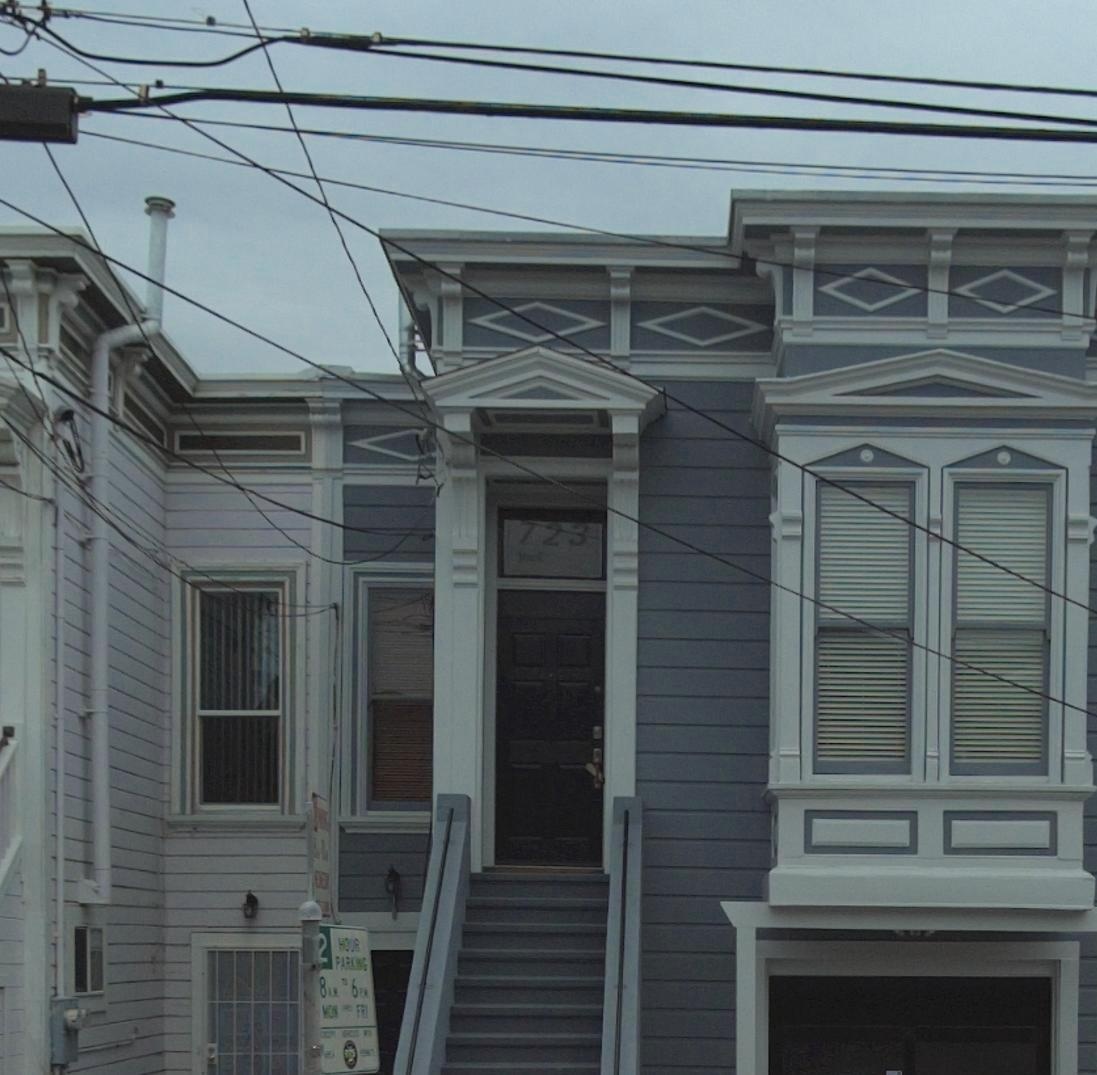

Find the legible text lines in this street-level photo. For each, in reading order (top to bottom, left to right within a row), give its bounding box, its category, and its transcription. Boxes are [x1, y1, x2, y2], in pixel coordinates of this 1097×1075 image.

[517, 519, 592, 547] StreetNumber: 723
[337, 936, 362, 954] None: HOUR
[334, 954, 368, 973] None: PARKING
[318, 976, 327, 999] None: 8
[349, 977, 359, 1000] None: 6
[321, 1003, 339, 1021] None: MON
[355, 1003, 369, 1019] None: FRI